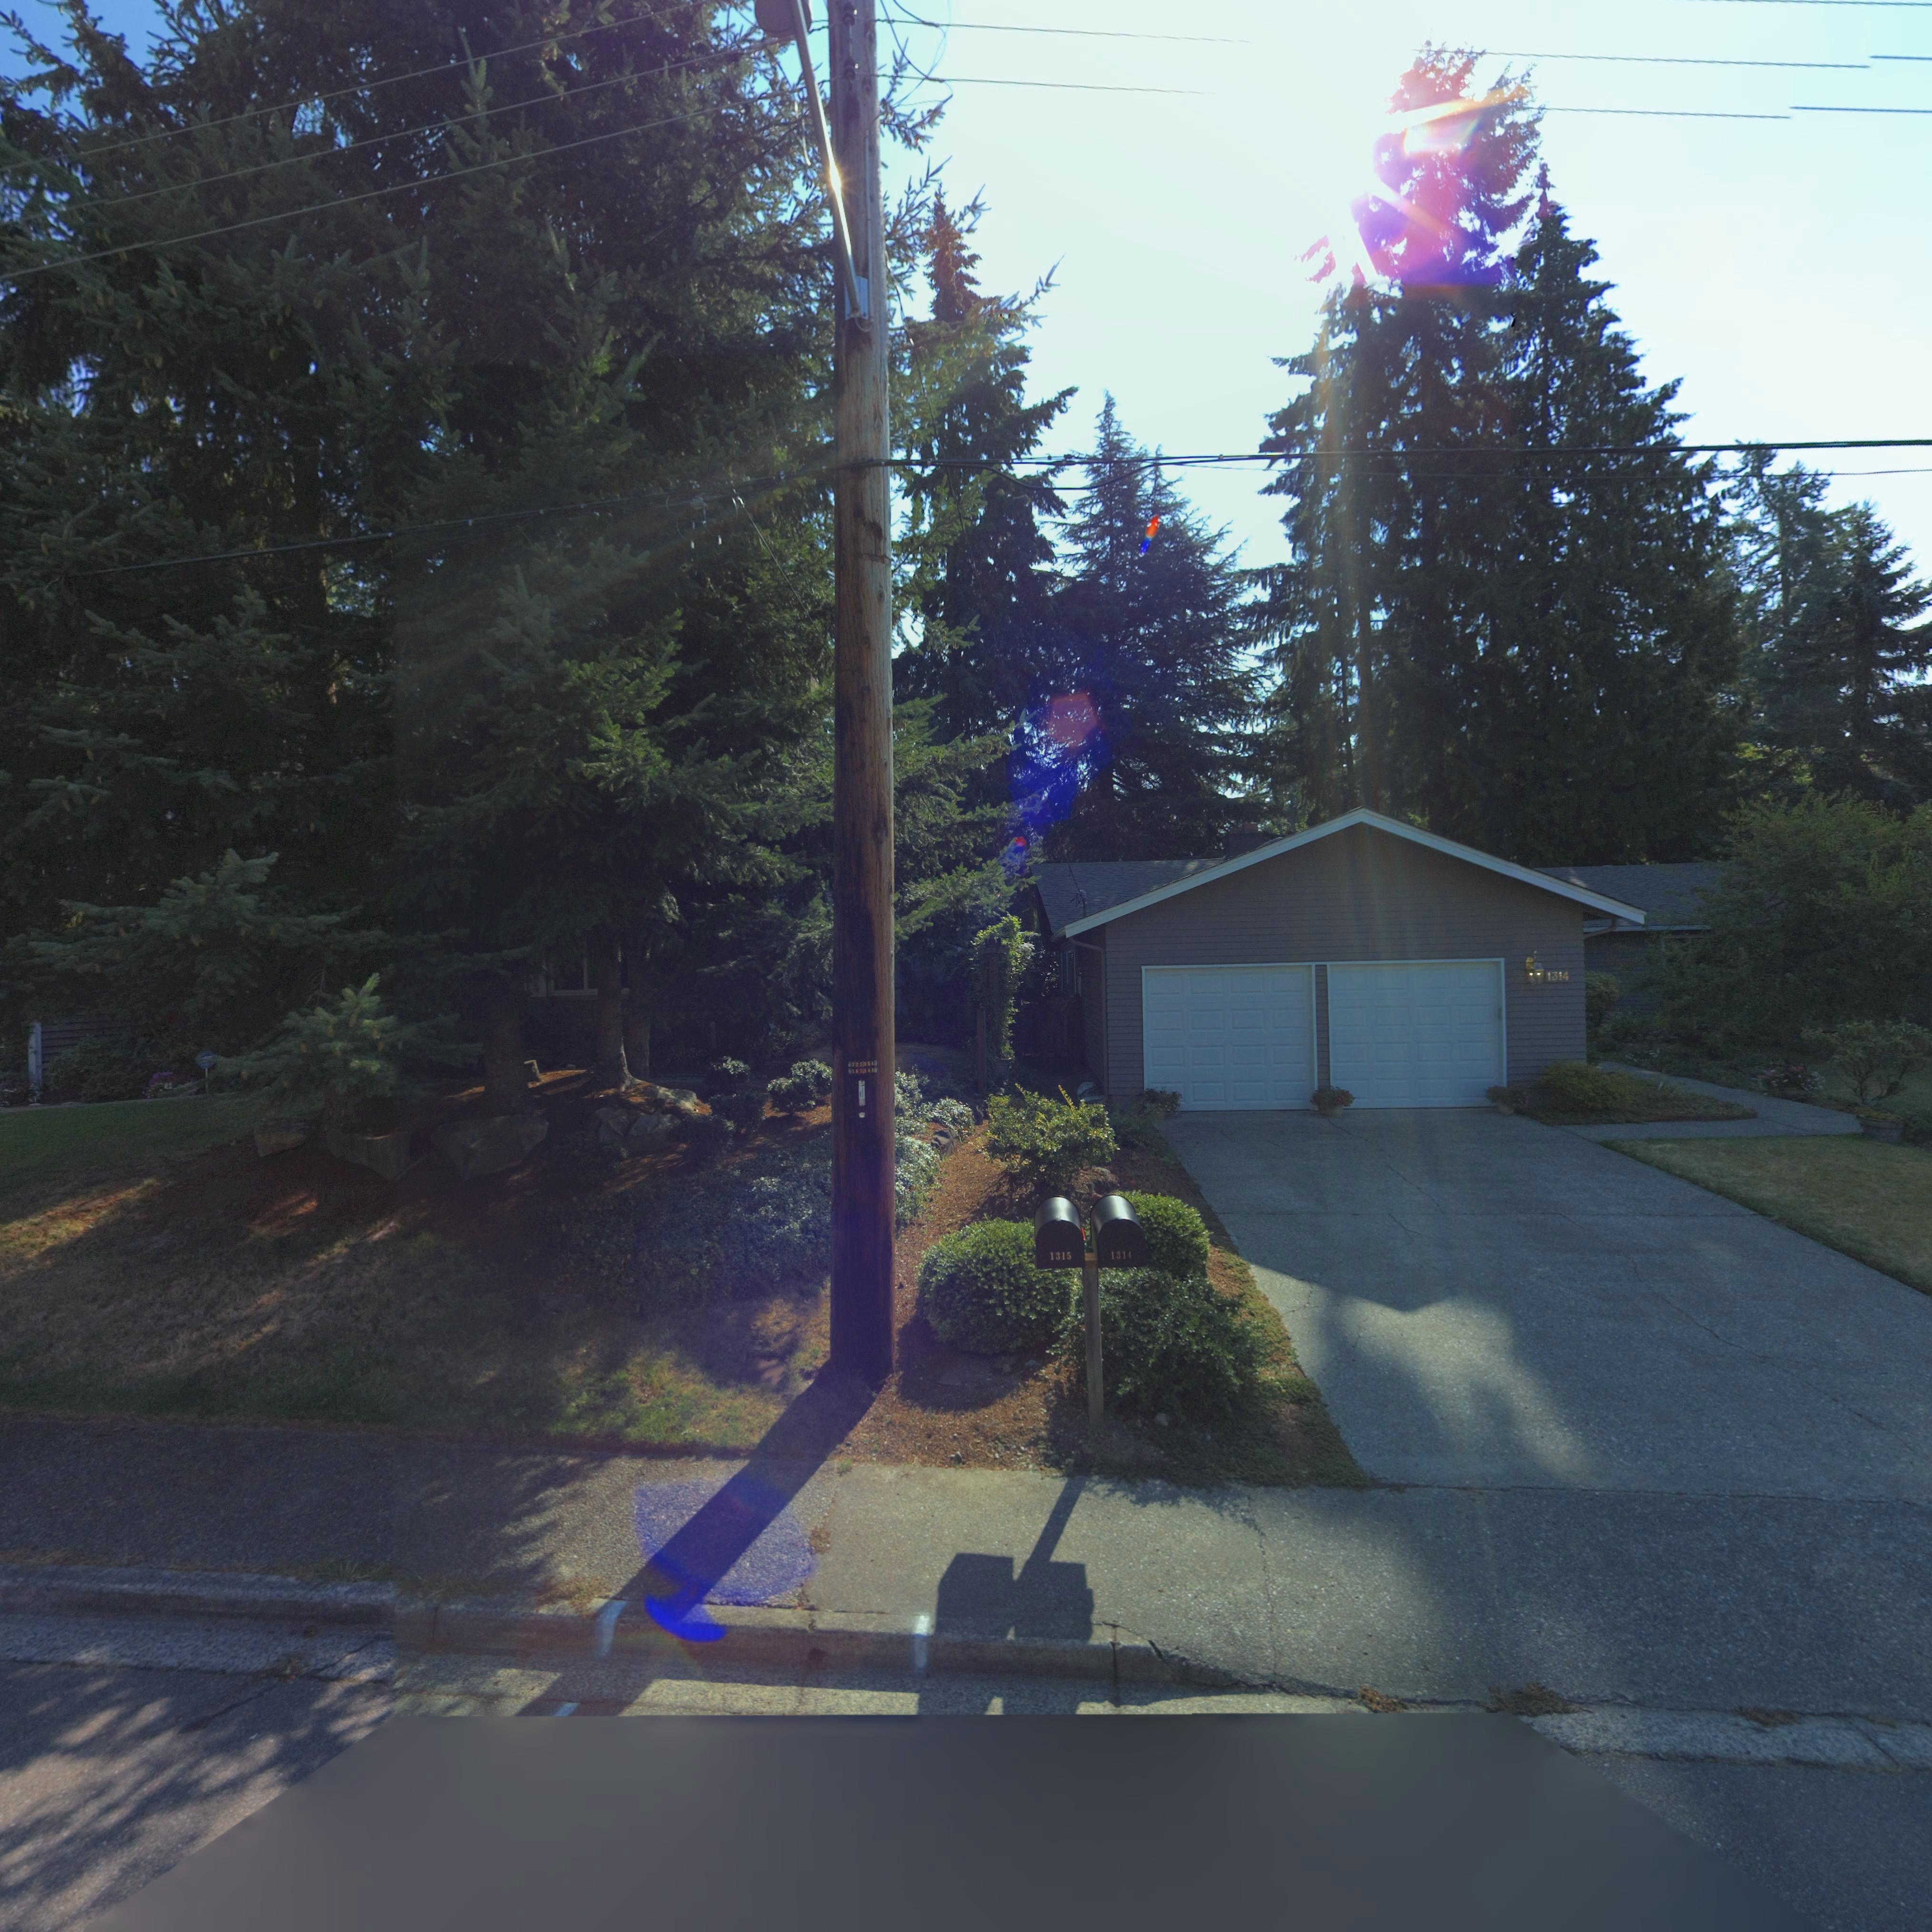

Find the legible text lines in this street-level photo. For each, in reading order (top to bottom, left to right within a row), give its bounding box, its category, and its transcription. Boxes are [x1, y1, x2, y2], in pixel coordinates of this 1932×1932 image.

[1546, 971, 1569, 982] StreetNumber: 1314
[1049, 1251, 1072, 1260] StreetNumber: 1315
[1111, 1251, 1133, 1259] StreetNumber: 1314